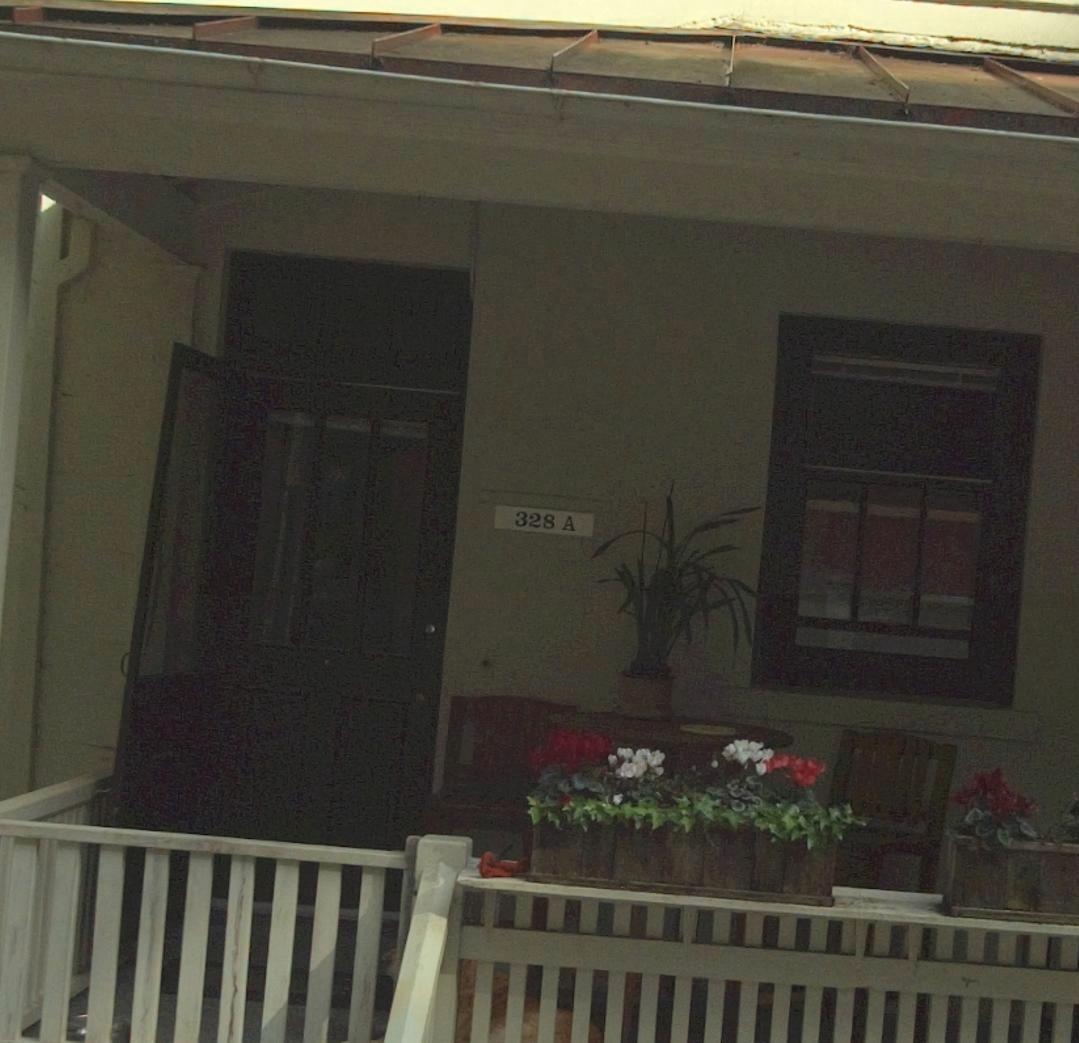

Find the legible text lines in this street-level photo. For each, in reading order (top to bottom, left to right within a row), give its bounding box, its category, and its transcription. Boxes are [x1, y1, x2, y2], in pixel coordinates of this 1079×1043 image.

[513, 509, 578, 533] StreetNumber: 328A